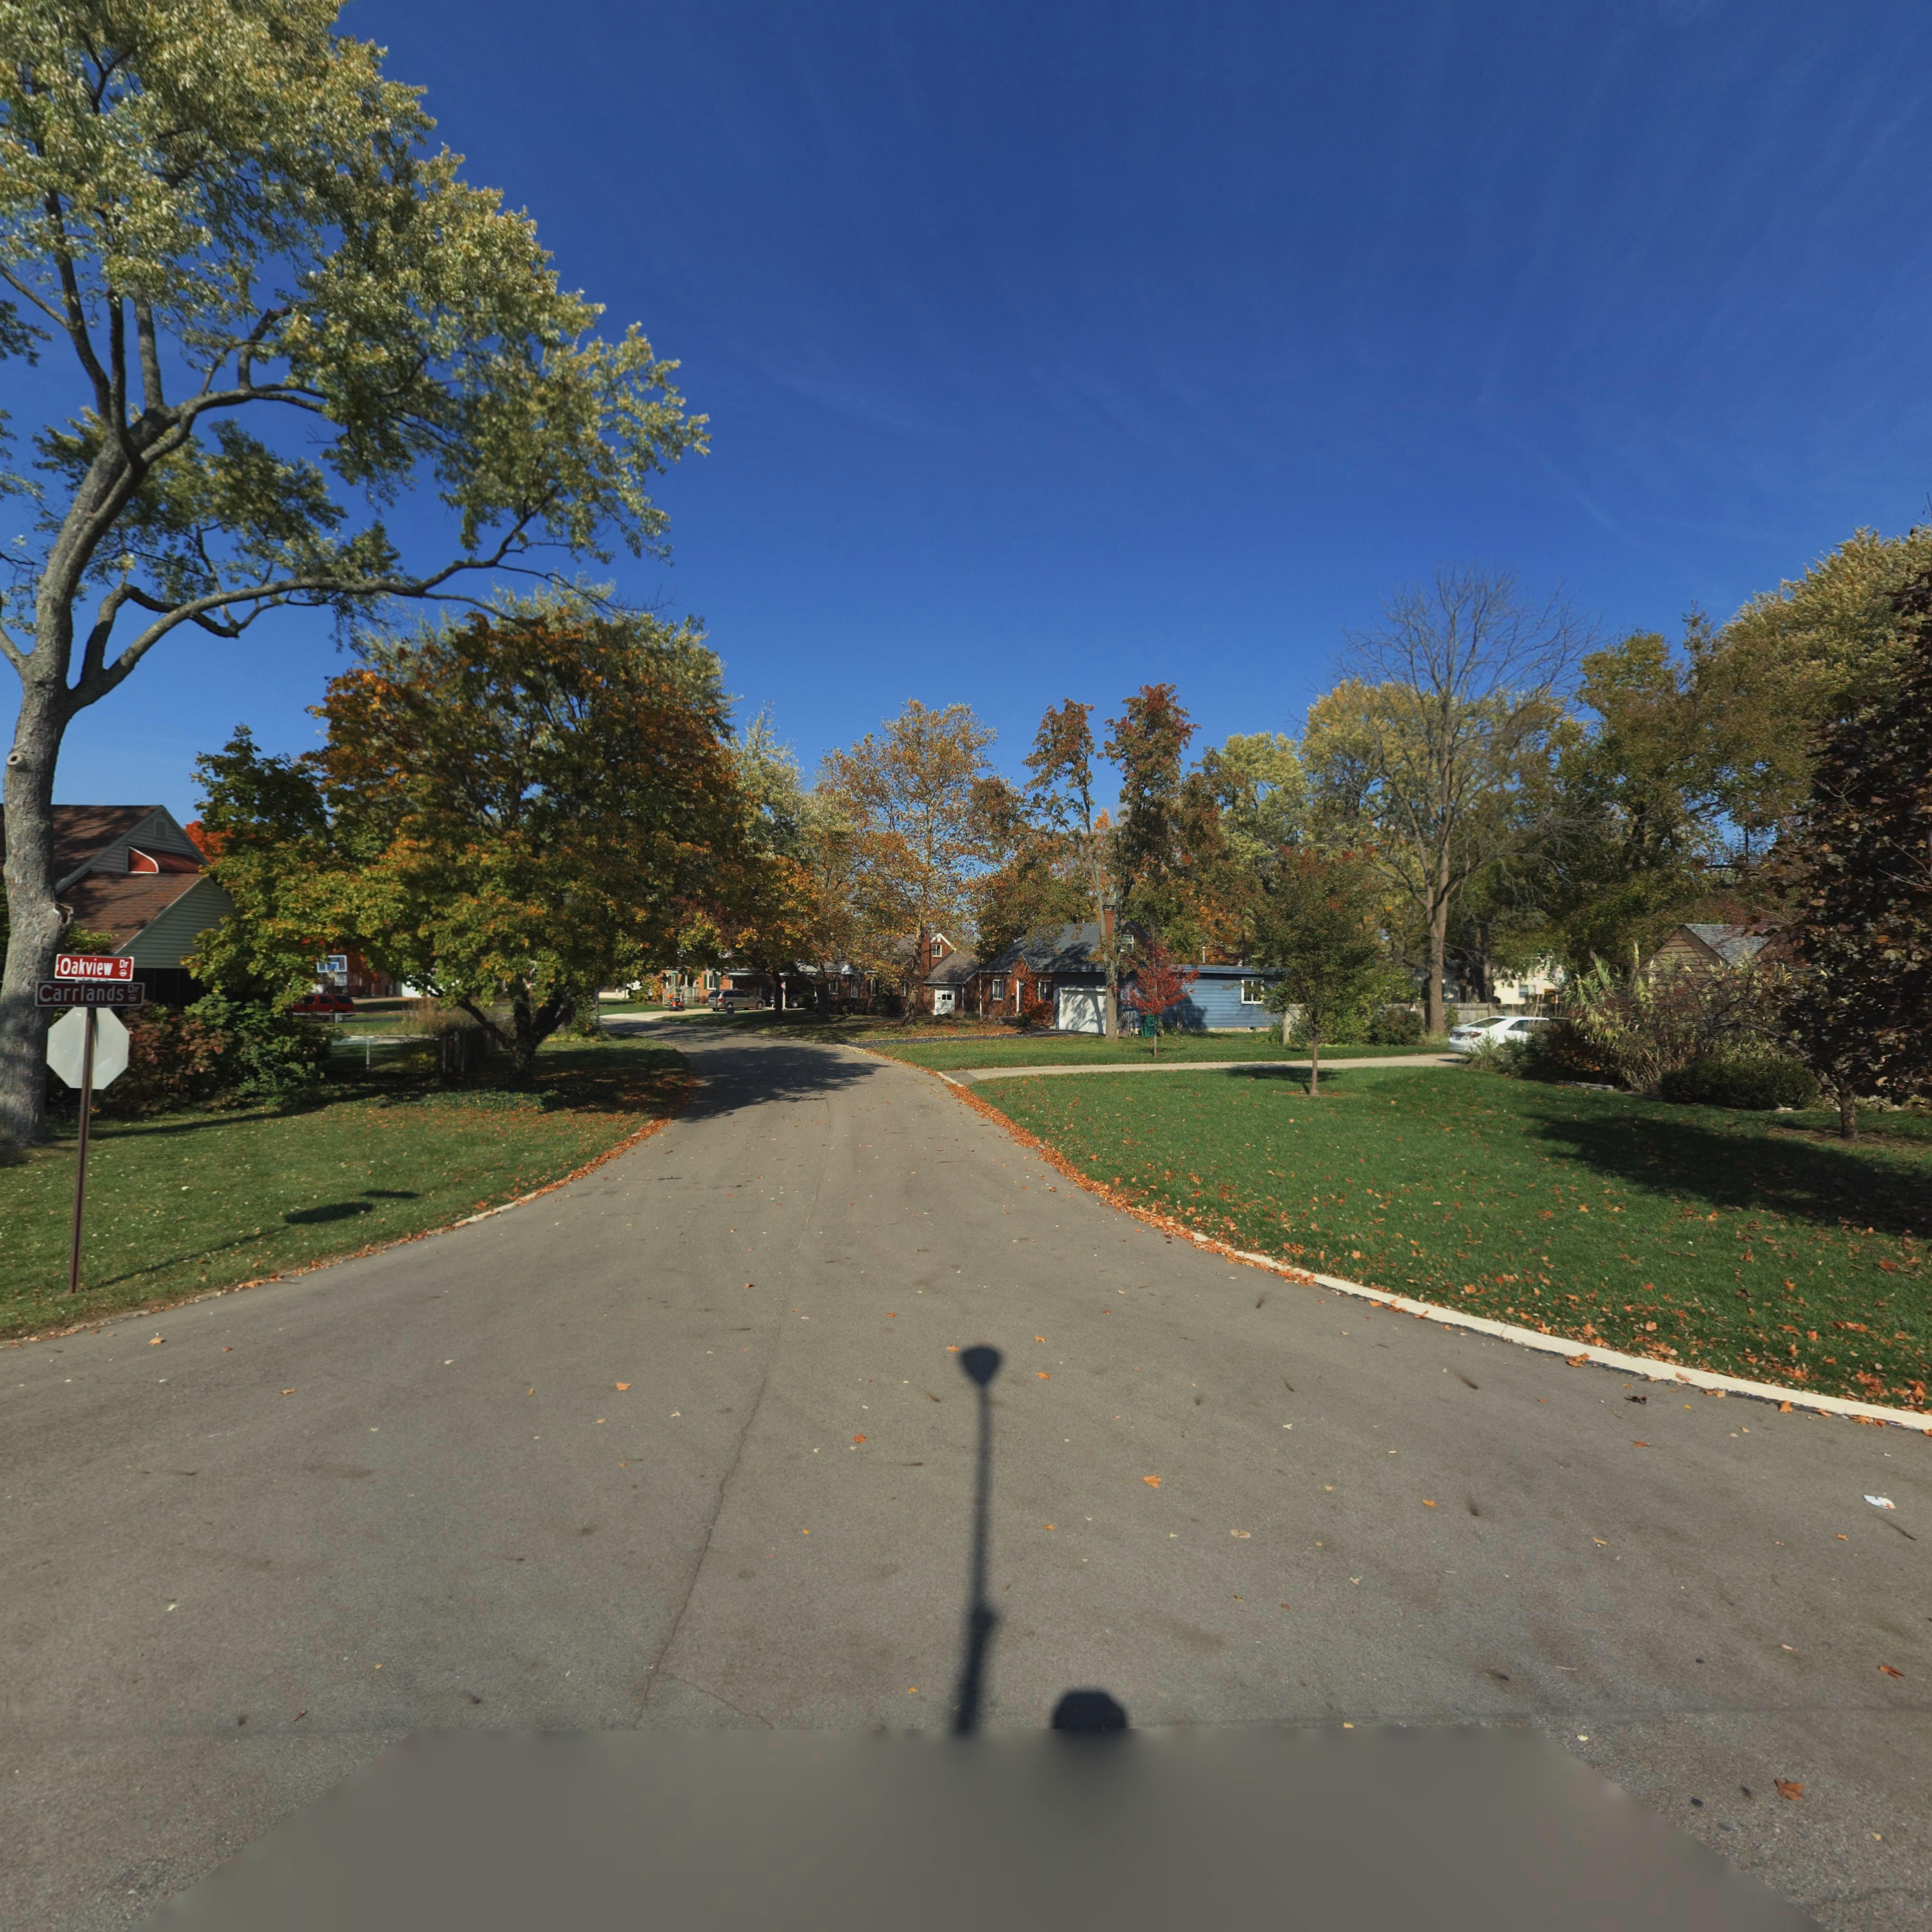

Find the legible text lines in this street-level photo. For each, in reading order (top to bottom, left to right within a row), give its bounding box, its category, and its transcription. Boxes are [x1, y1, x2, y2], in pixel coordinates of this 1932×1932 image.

[60, 957, 130, 976] StreetName: Oakview Dr
[39, 984, 140, 1003] StreetName: Carrlands Dr